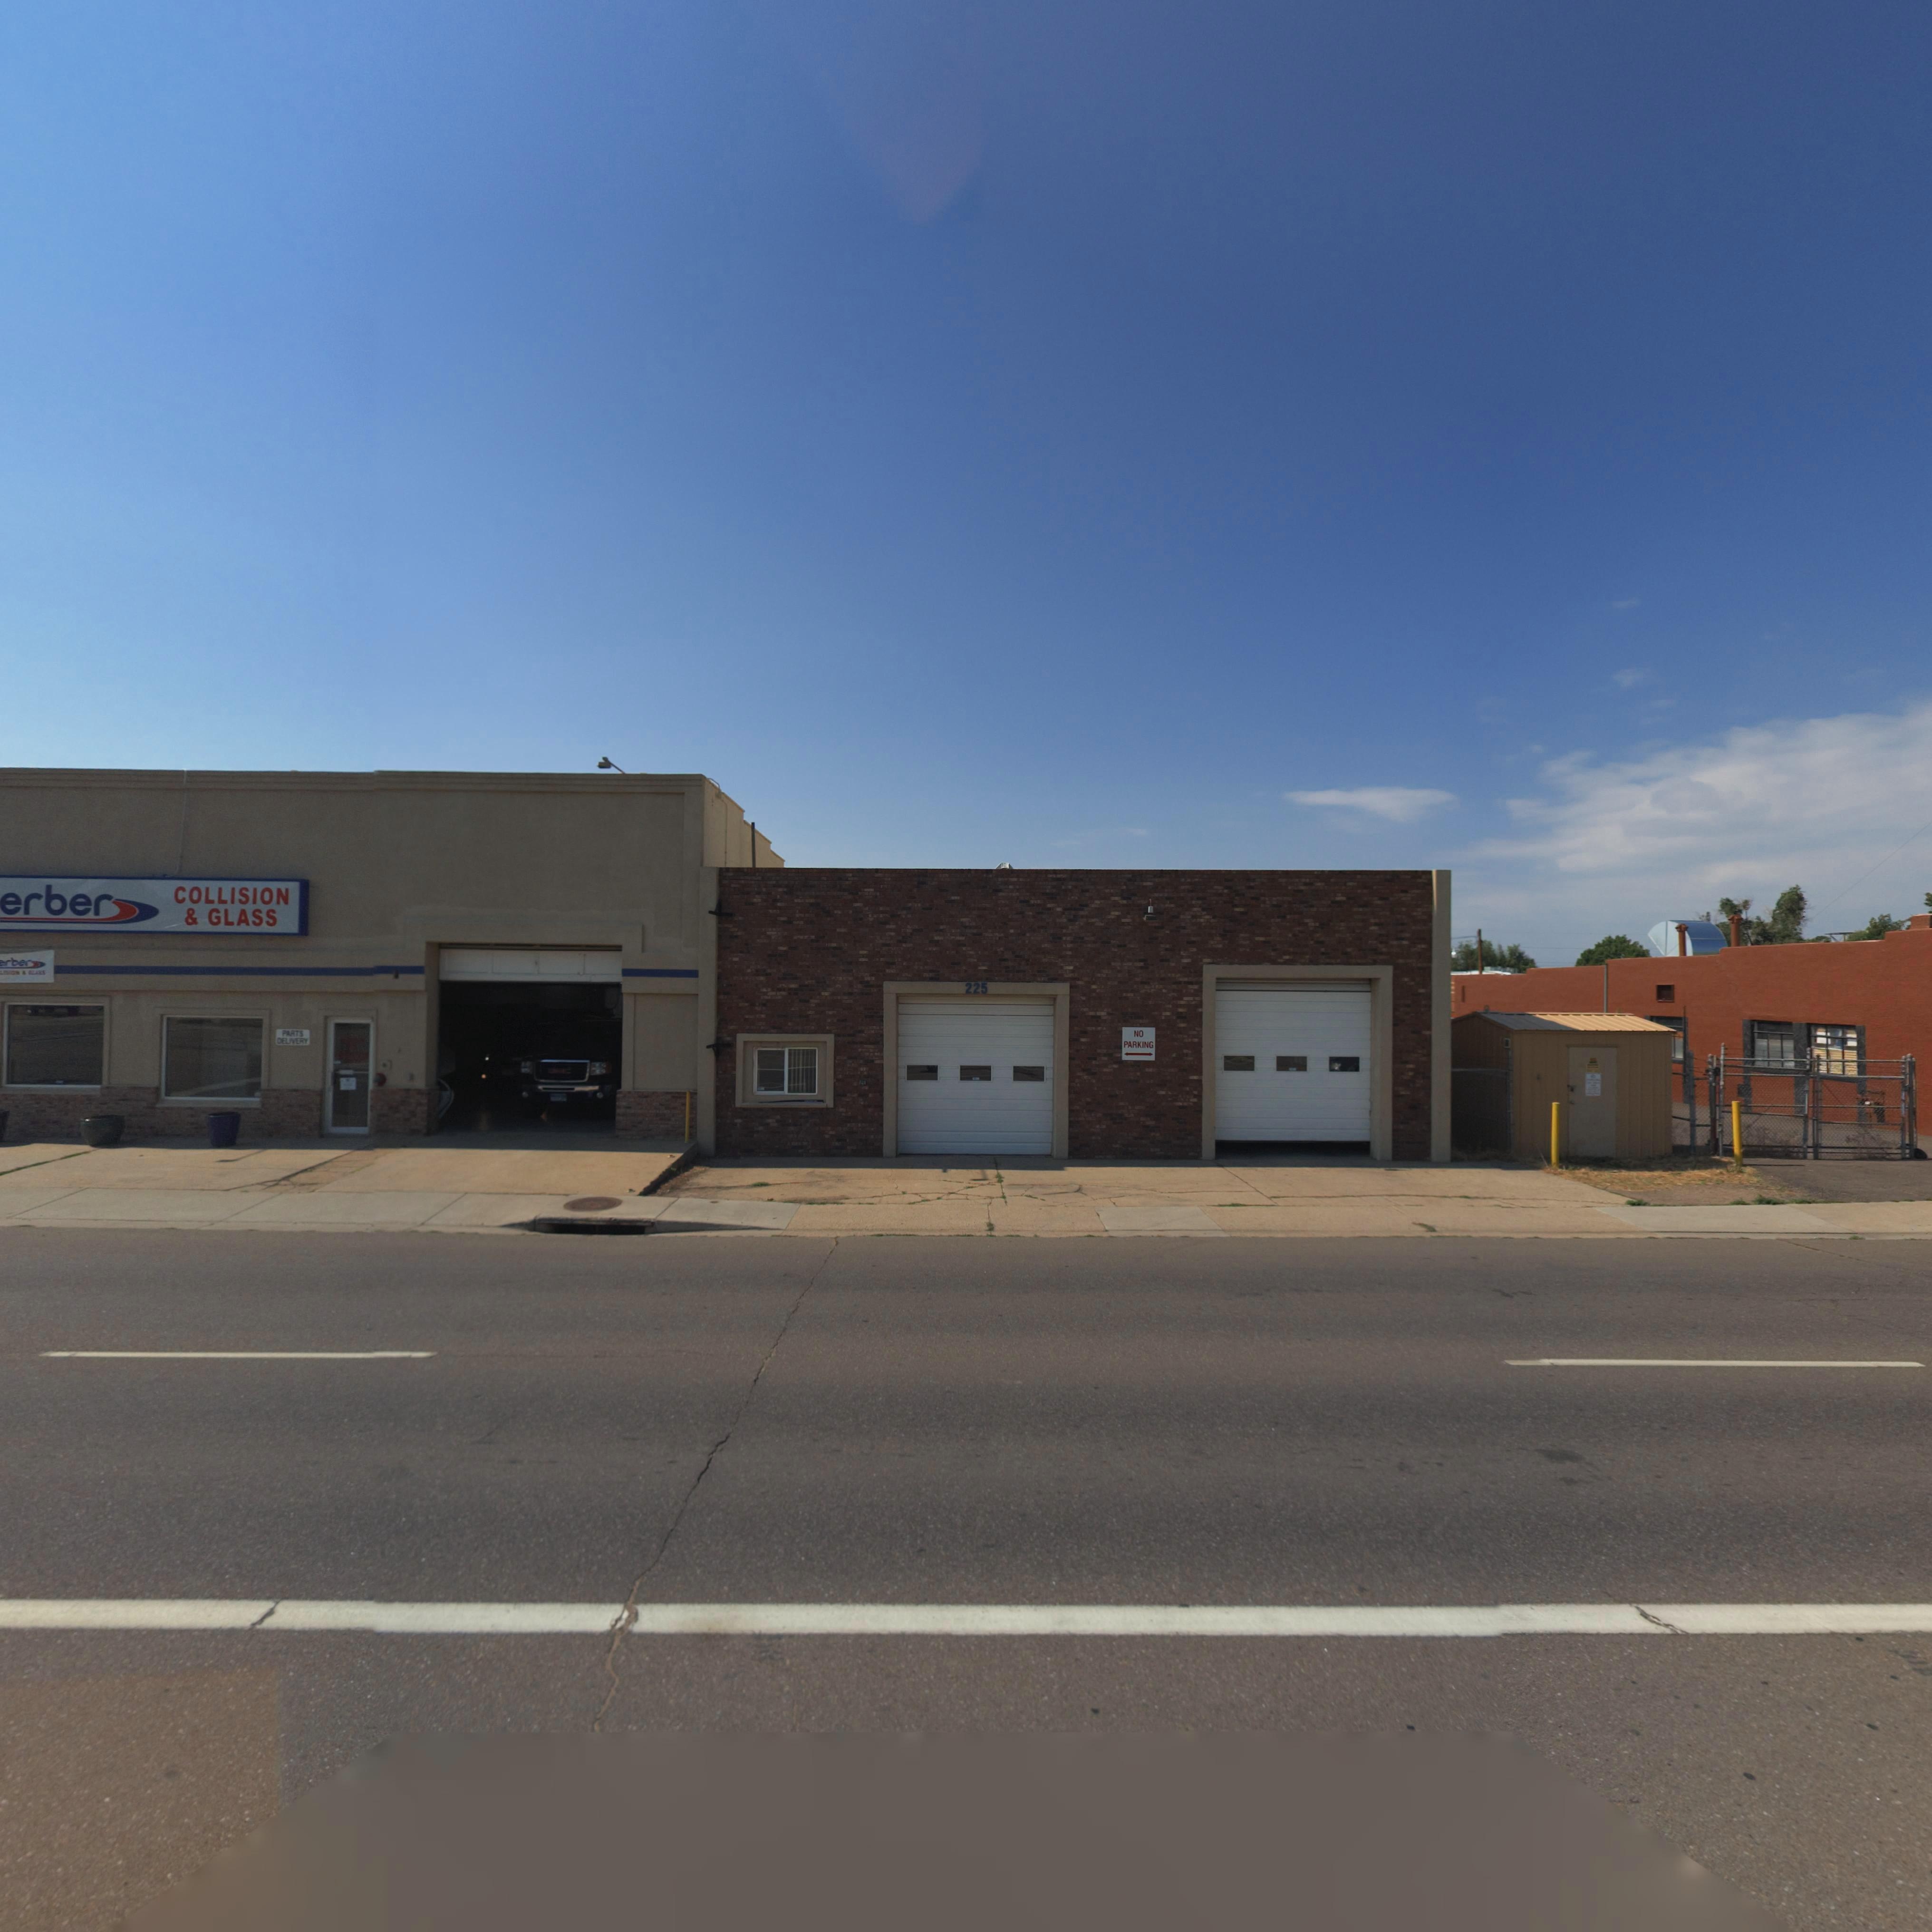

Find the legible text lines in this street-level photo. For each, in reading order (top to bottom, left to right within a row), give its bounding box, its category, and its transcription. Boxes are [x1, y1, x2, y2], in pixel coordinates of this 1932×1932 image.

[23, 883, 115, 917] BusinessName: rber
[173, 885, 290, 906] BusinessName: COLLISION
[184, 906, 278, 927] BusinessName: * GLASS
[5, 956, 32, 966] BusinessName: rber
[965, 982, 988, 994] StreetNumber: 225